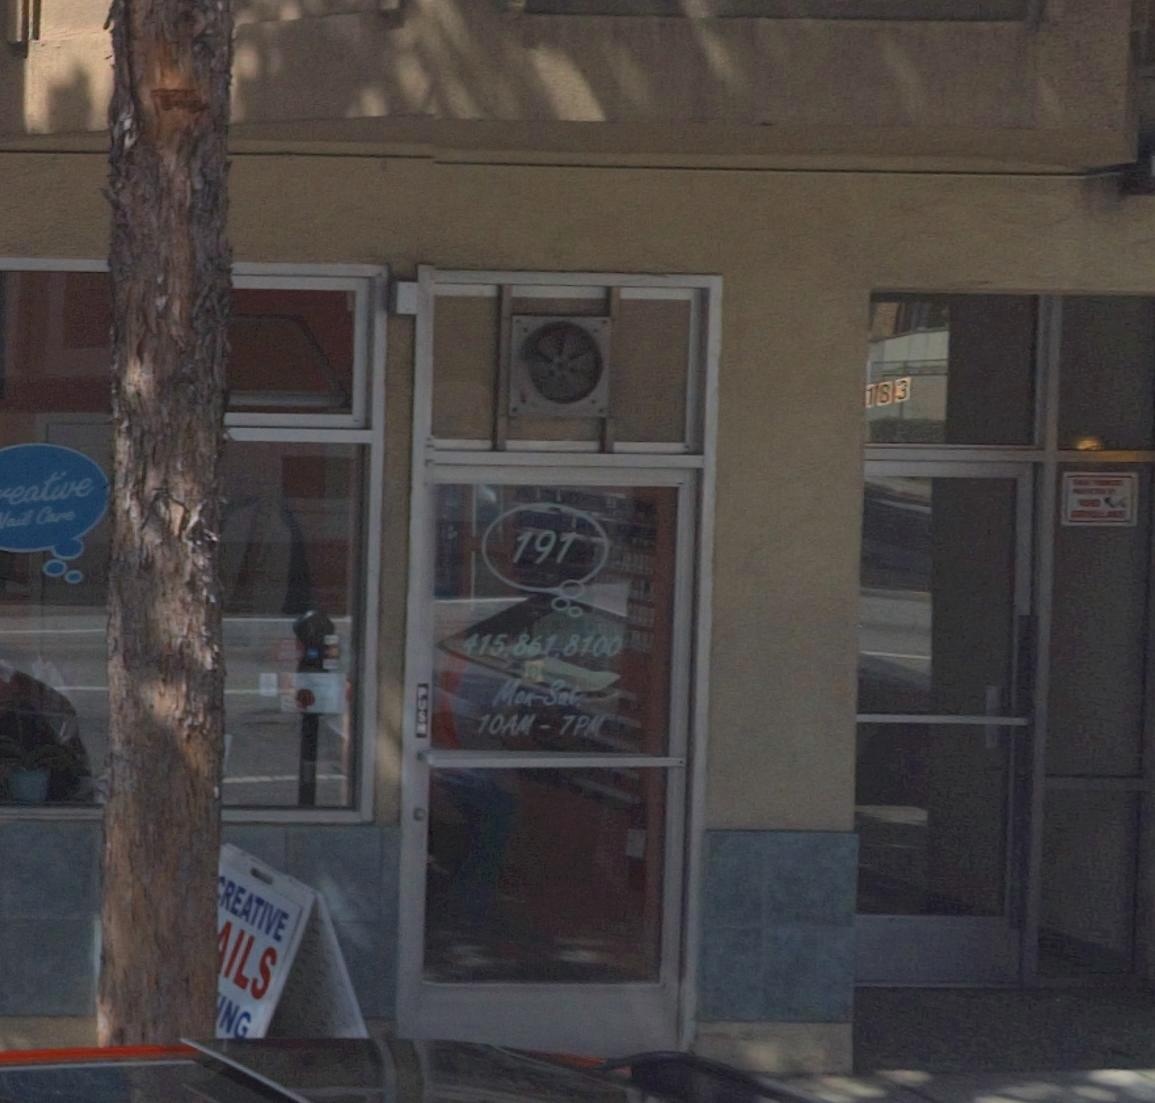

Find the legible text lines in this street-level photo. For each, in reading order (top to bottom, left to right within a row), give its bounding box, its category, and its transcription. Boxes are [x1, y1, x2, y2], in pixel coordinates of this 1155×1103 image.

[864, 371, 916, 411] StreetNumber: 183
[6, 469, 95, 508] BusinessName: eative
[4, 502, 78, 531] BusinessName: ail Care
[505, 528, 580, 566] StreetNumber: 191
[462, 630, 626, 657] None: 415.861.8100
[416, 686, 428, 736] None: PUSH
[489, 677, 581, 708] None: Mon-Sat
[477, 713, 606, 735] None: 10AM - 7PM
[218, 878, 292, 946] None: REATIVE
[219, 925, 279, 1004] None: ILS
[216, 996, 254, 1047] None: NG